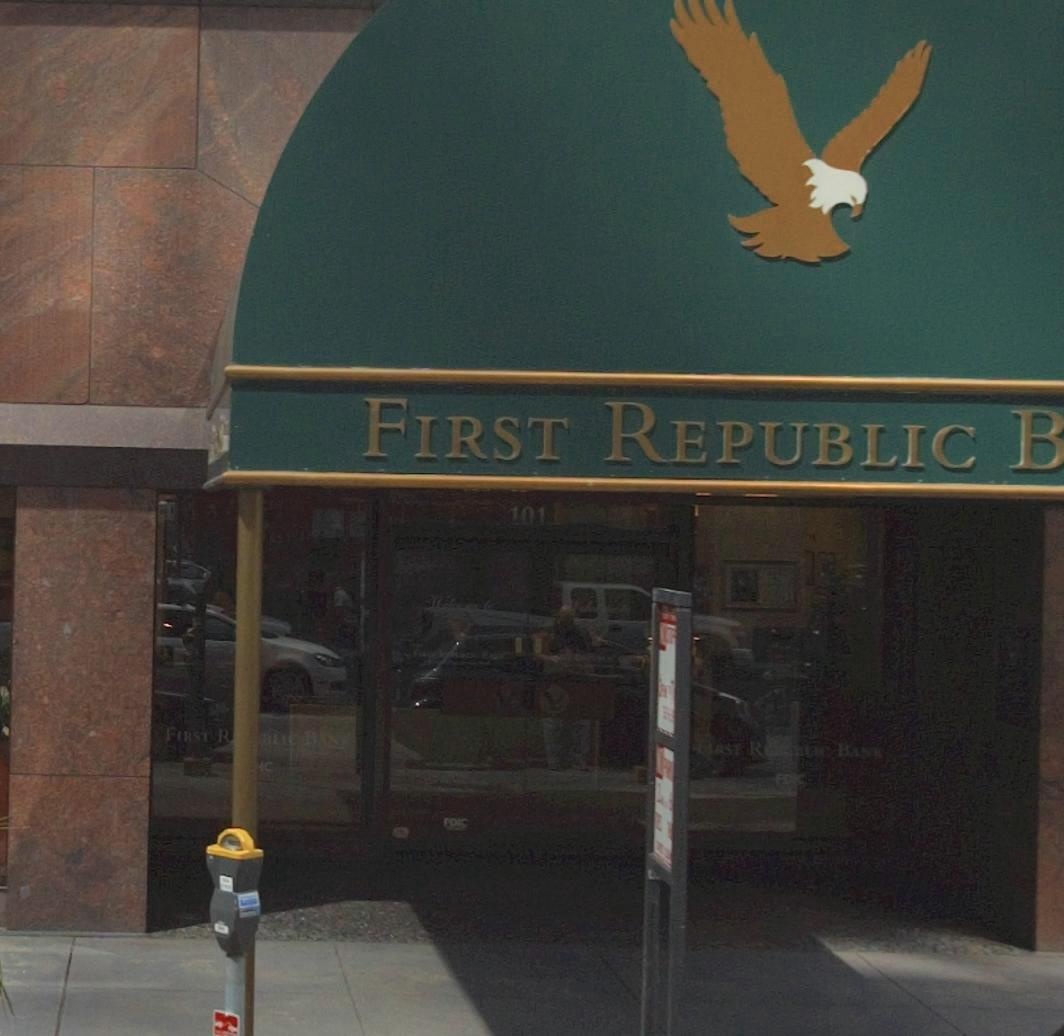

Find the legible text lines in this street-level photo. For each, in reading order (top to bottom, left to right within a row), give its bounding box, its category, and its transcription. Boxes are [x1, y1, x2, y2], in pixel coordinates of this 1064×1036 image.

[358, 394, 1063, 475] BusinessName: FIRST REPUBLIC B
[506, 504, 547, 530] StreetNumber: 101
[164, 722, 341, 749] BusinessName: FIRST R***BLIC BAN